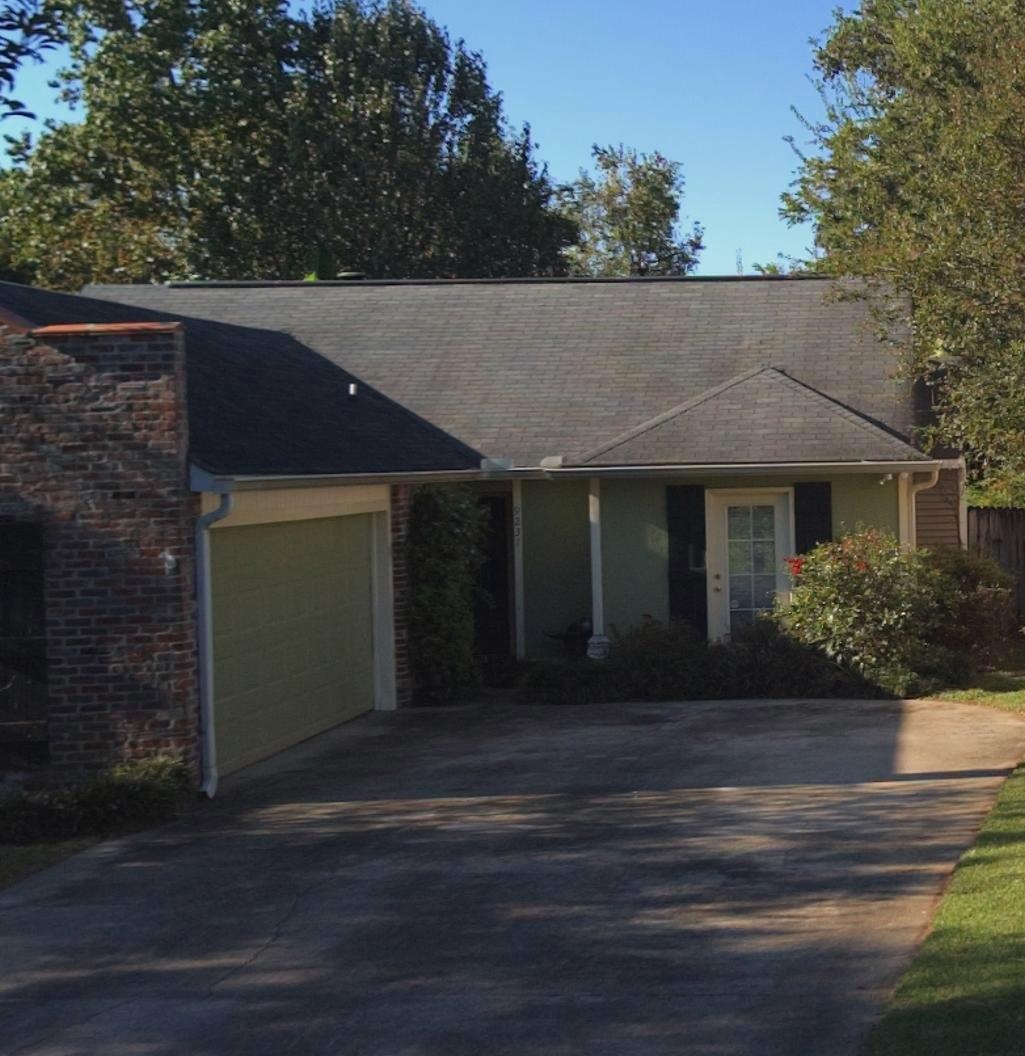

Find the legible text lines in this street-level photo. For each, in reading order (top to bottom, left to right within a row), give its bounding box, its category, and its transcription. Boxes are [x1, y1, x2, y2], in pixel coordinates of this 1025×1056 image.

[513, 505, 521, 548] StreetNumber: 9231